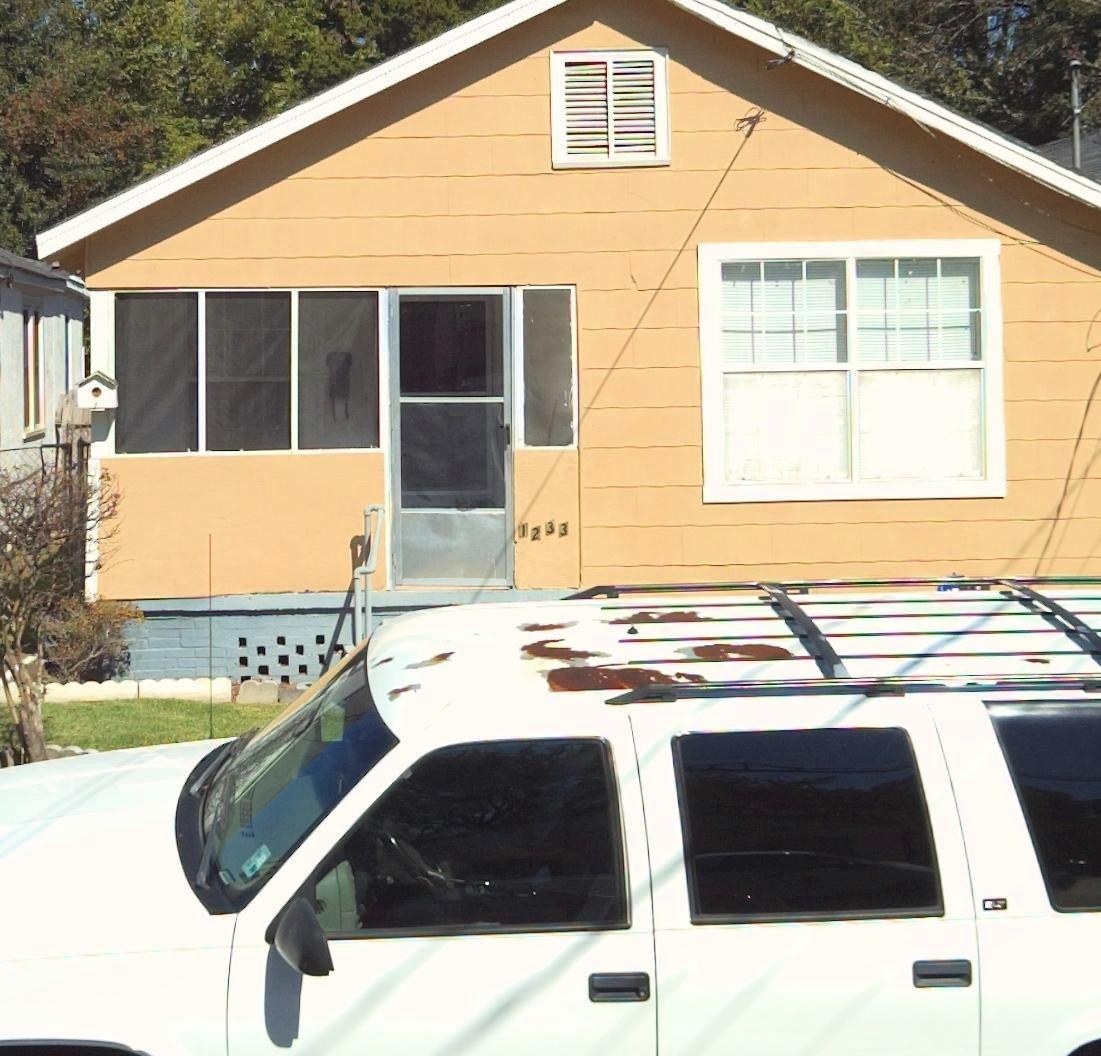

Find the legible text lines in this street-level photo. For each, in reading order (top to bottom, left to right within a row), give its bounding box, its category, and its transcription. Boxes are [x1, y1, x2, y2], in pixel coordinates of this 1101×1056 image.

[519, 519, 568, 542] StreetNumber: 1233